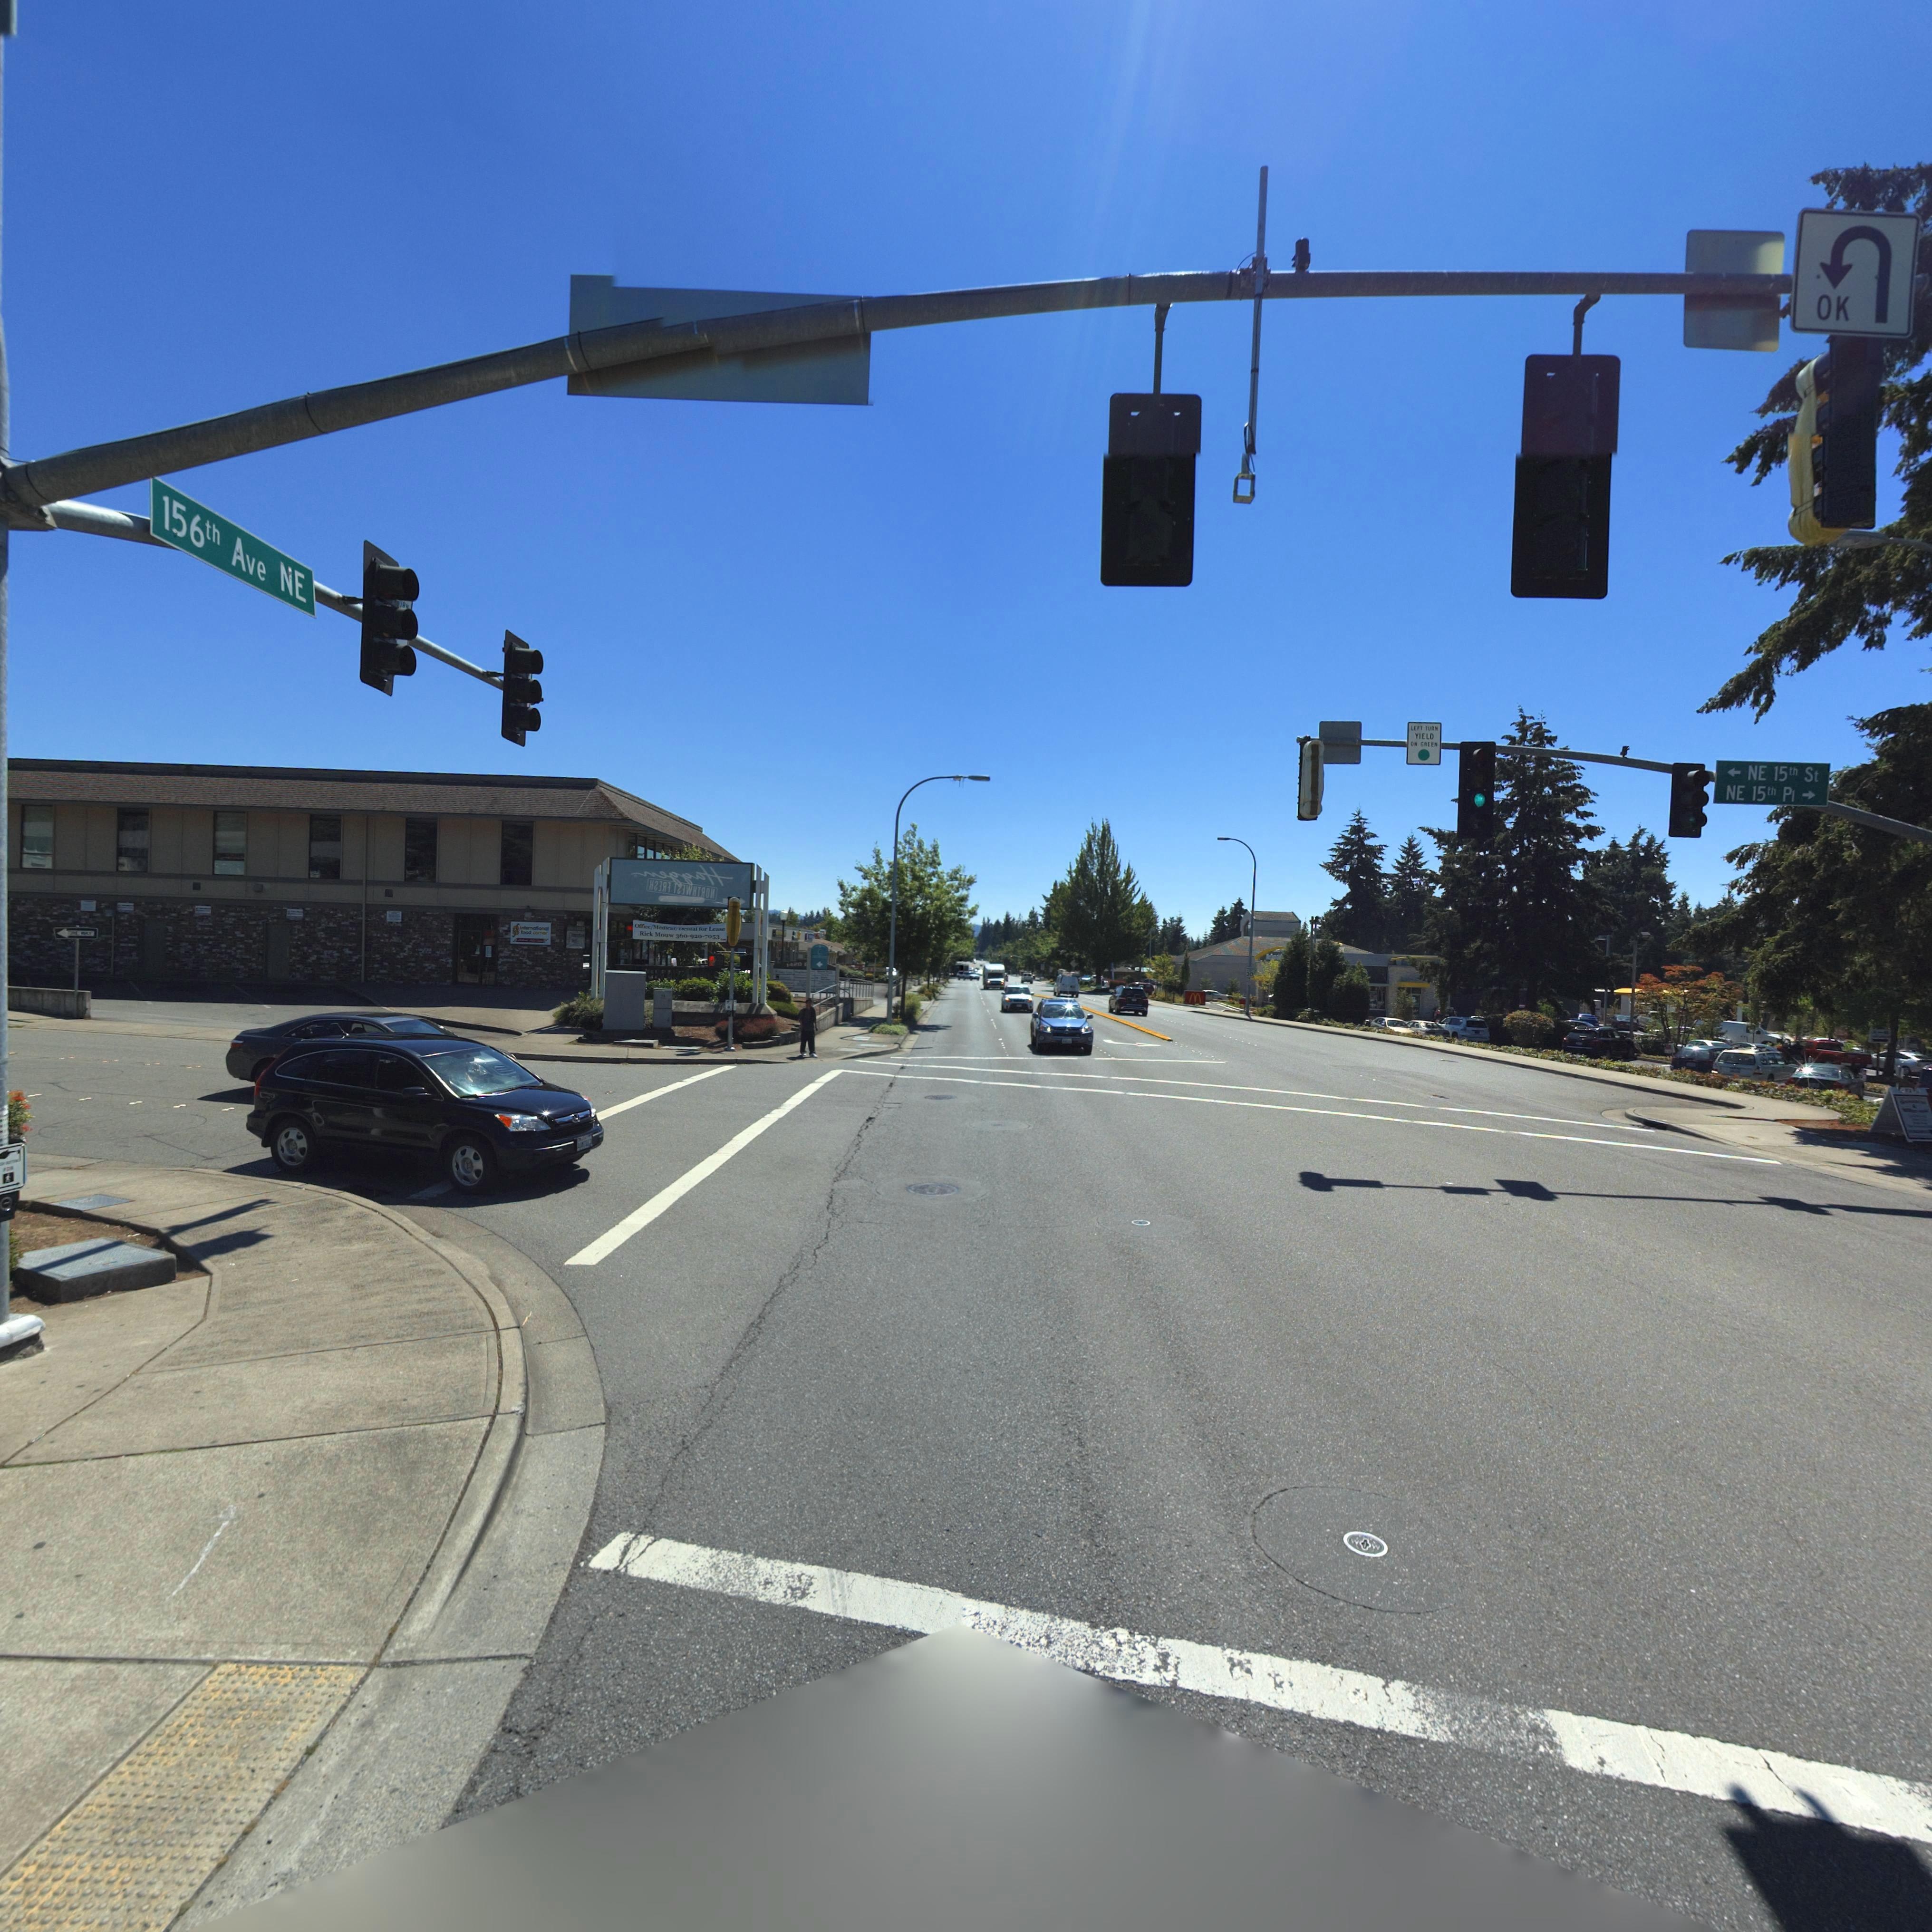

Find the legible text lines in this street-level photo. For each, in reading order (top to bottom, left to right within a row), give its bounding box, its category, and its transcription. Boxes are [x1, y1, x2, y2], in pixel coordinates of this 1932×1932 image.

[162, 492, 307, 605] StreetName: 156th Ave NE
[1726, 764, 1820, 782] StreetName: < - NE 15th St
[1725, 783, 1815, 802] StreetName: NE 15th Pl - >
[511, 923, 521, 938] BusinessName: IFC
[520, 930, 547, 935] BusinessName: food corner
[519, 925, 549, 930] BusinessName: international
[786, 962, 802, 967] StreetNumber: 1420